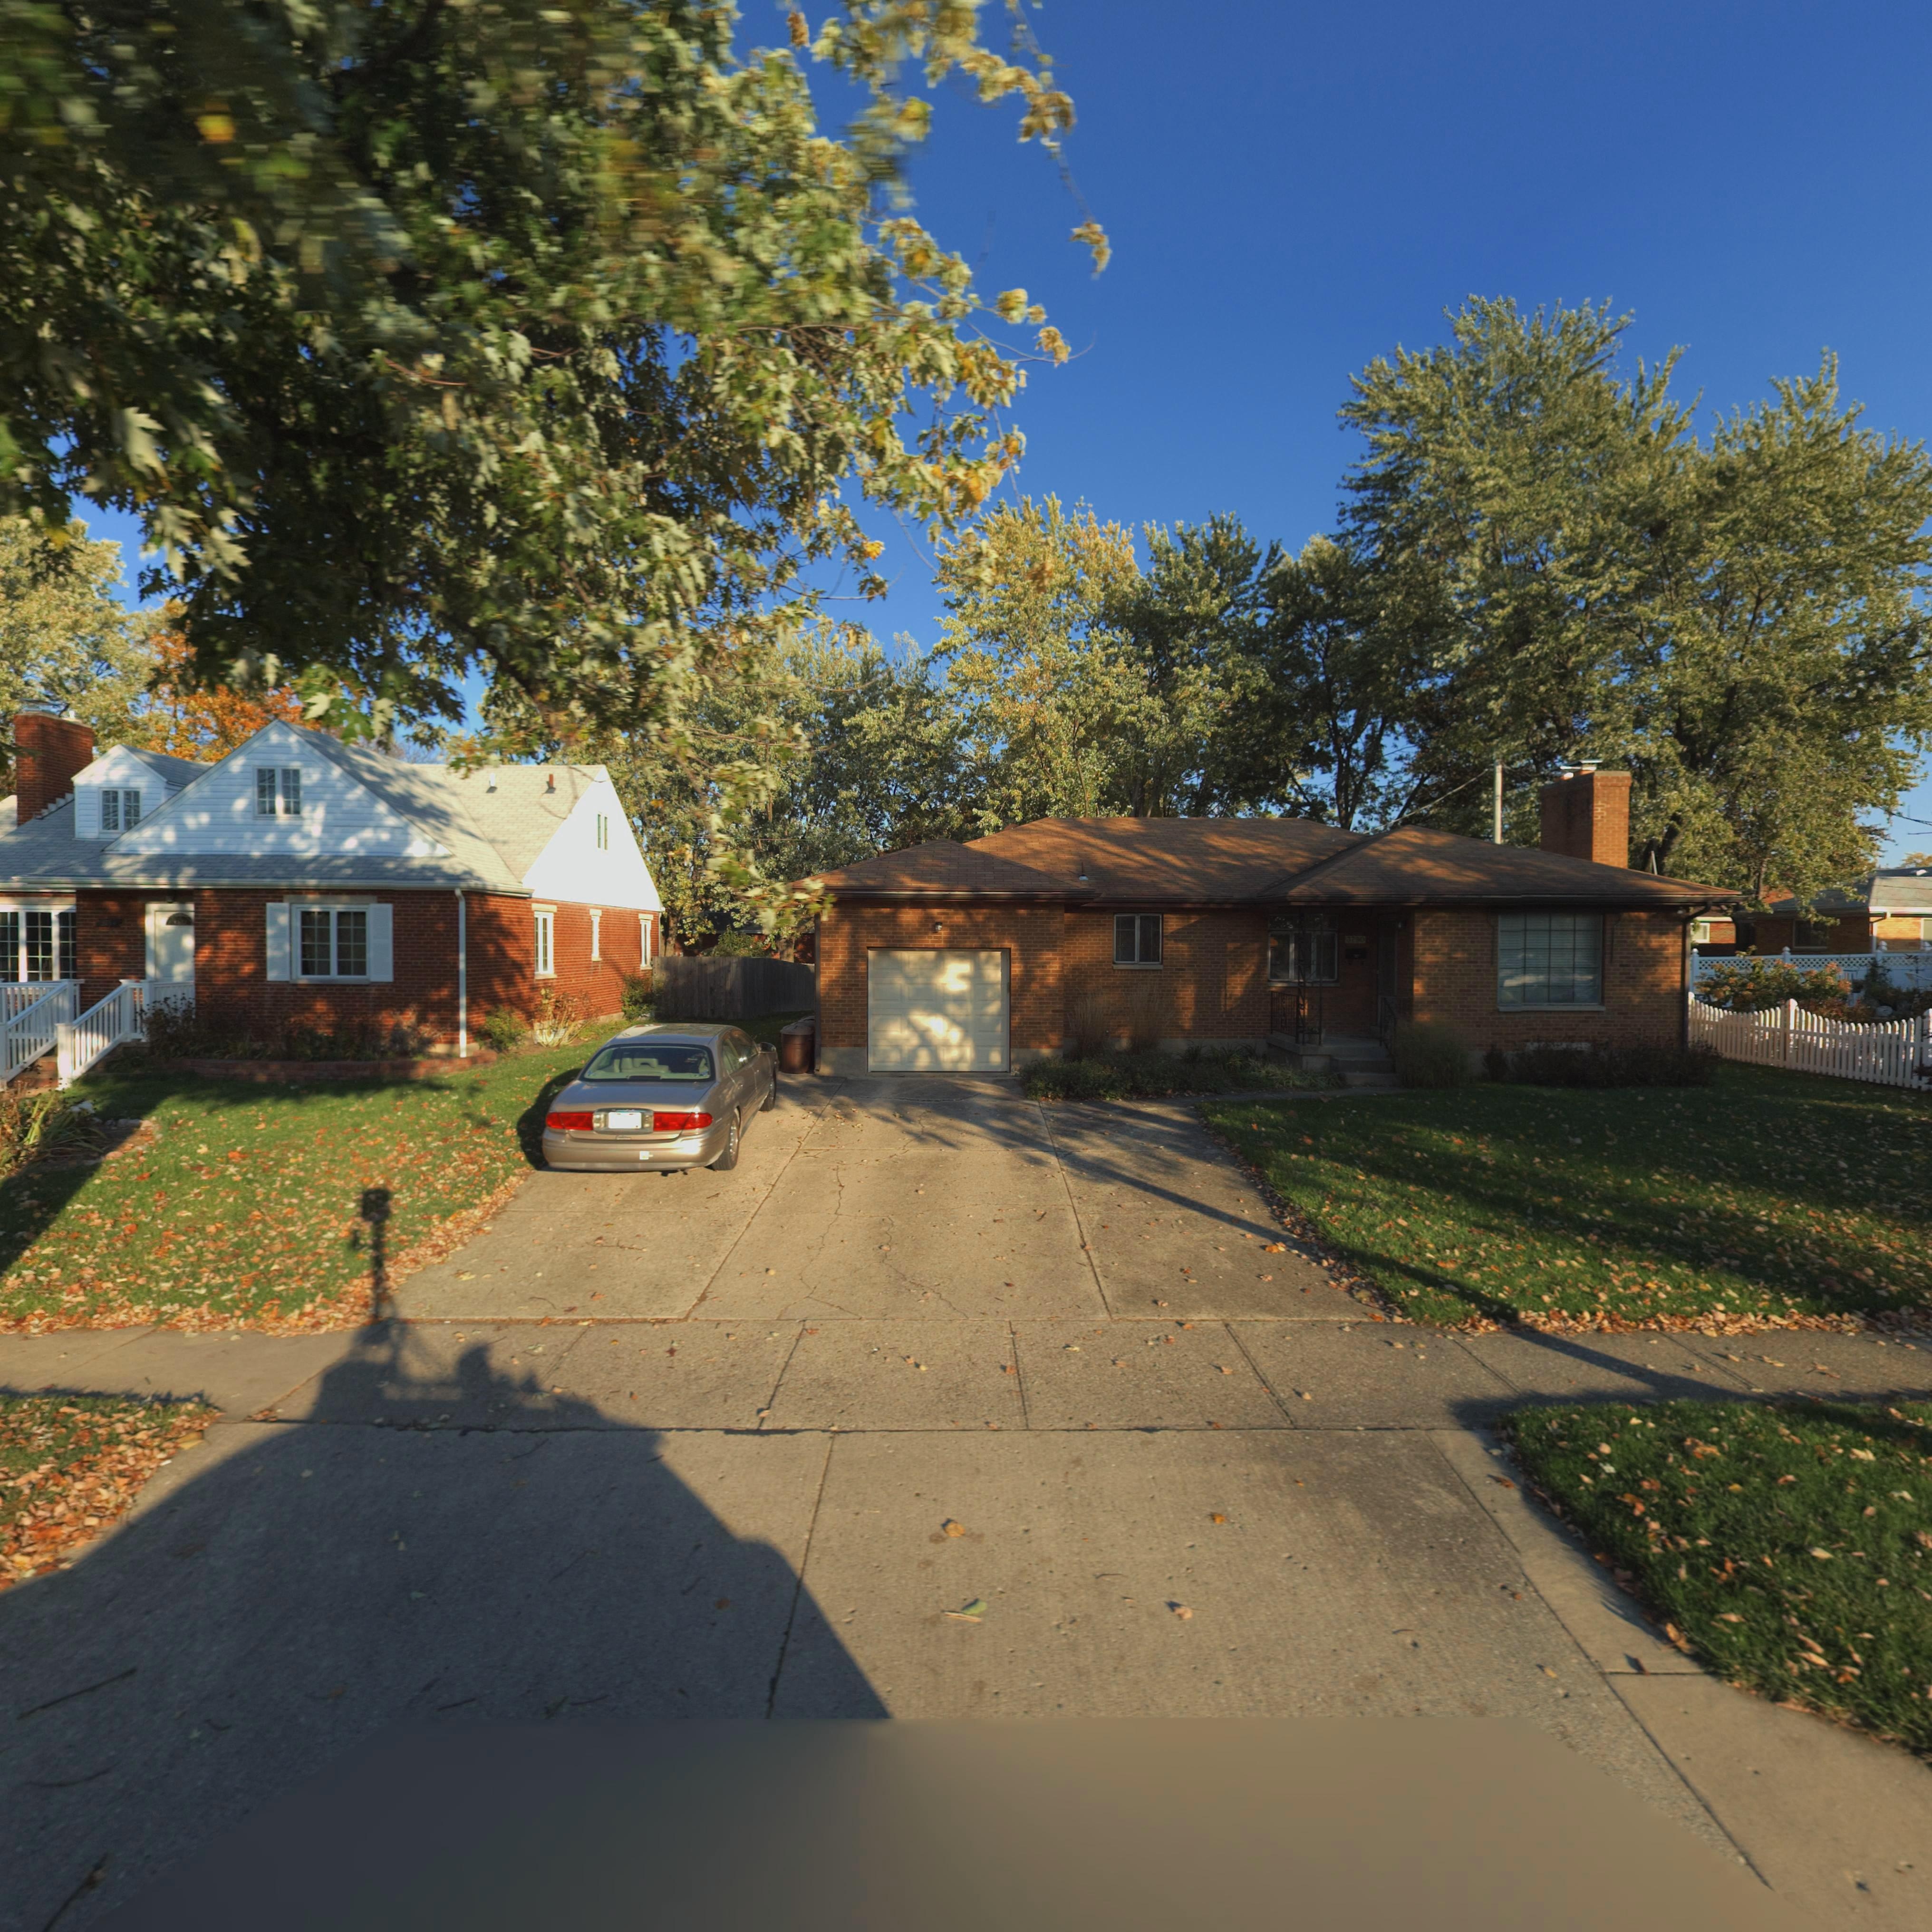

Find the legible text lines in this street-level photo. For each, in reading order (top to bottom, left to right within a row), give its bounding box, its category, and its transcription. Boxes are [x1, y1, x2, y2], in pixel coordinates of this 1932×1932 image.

[1346, 936, 1364, 942] StreetNumber: 3790